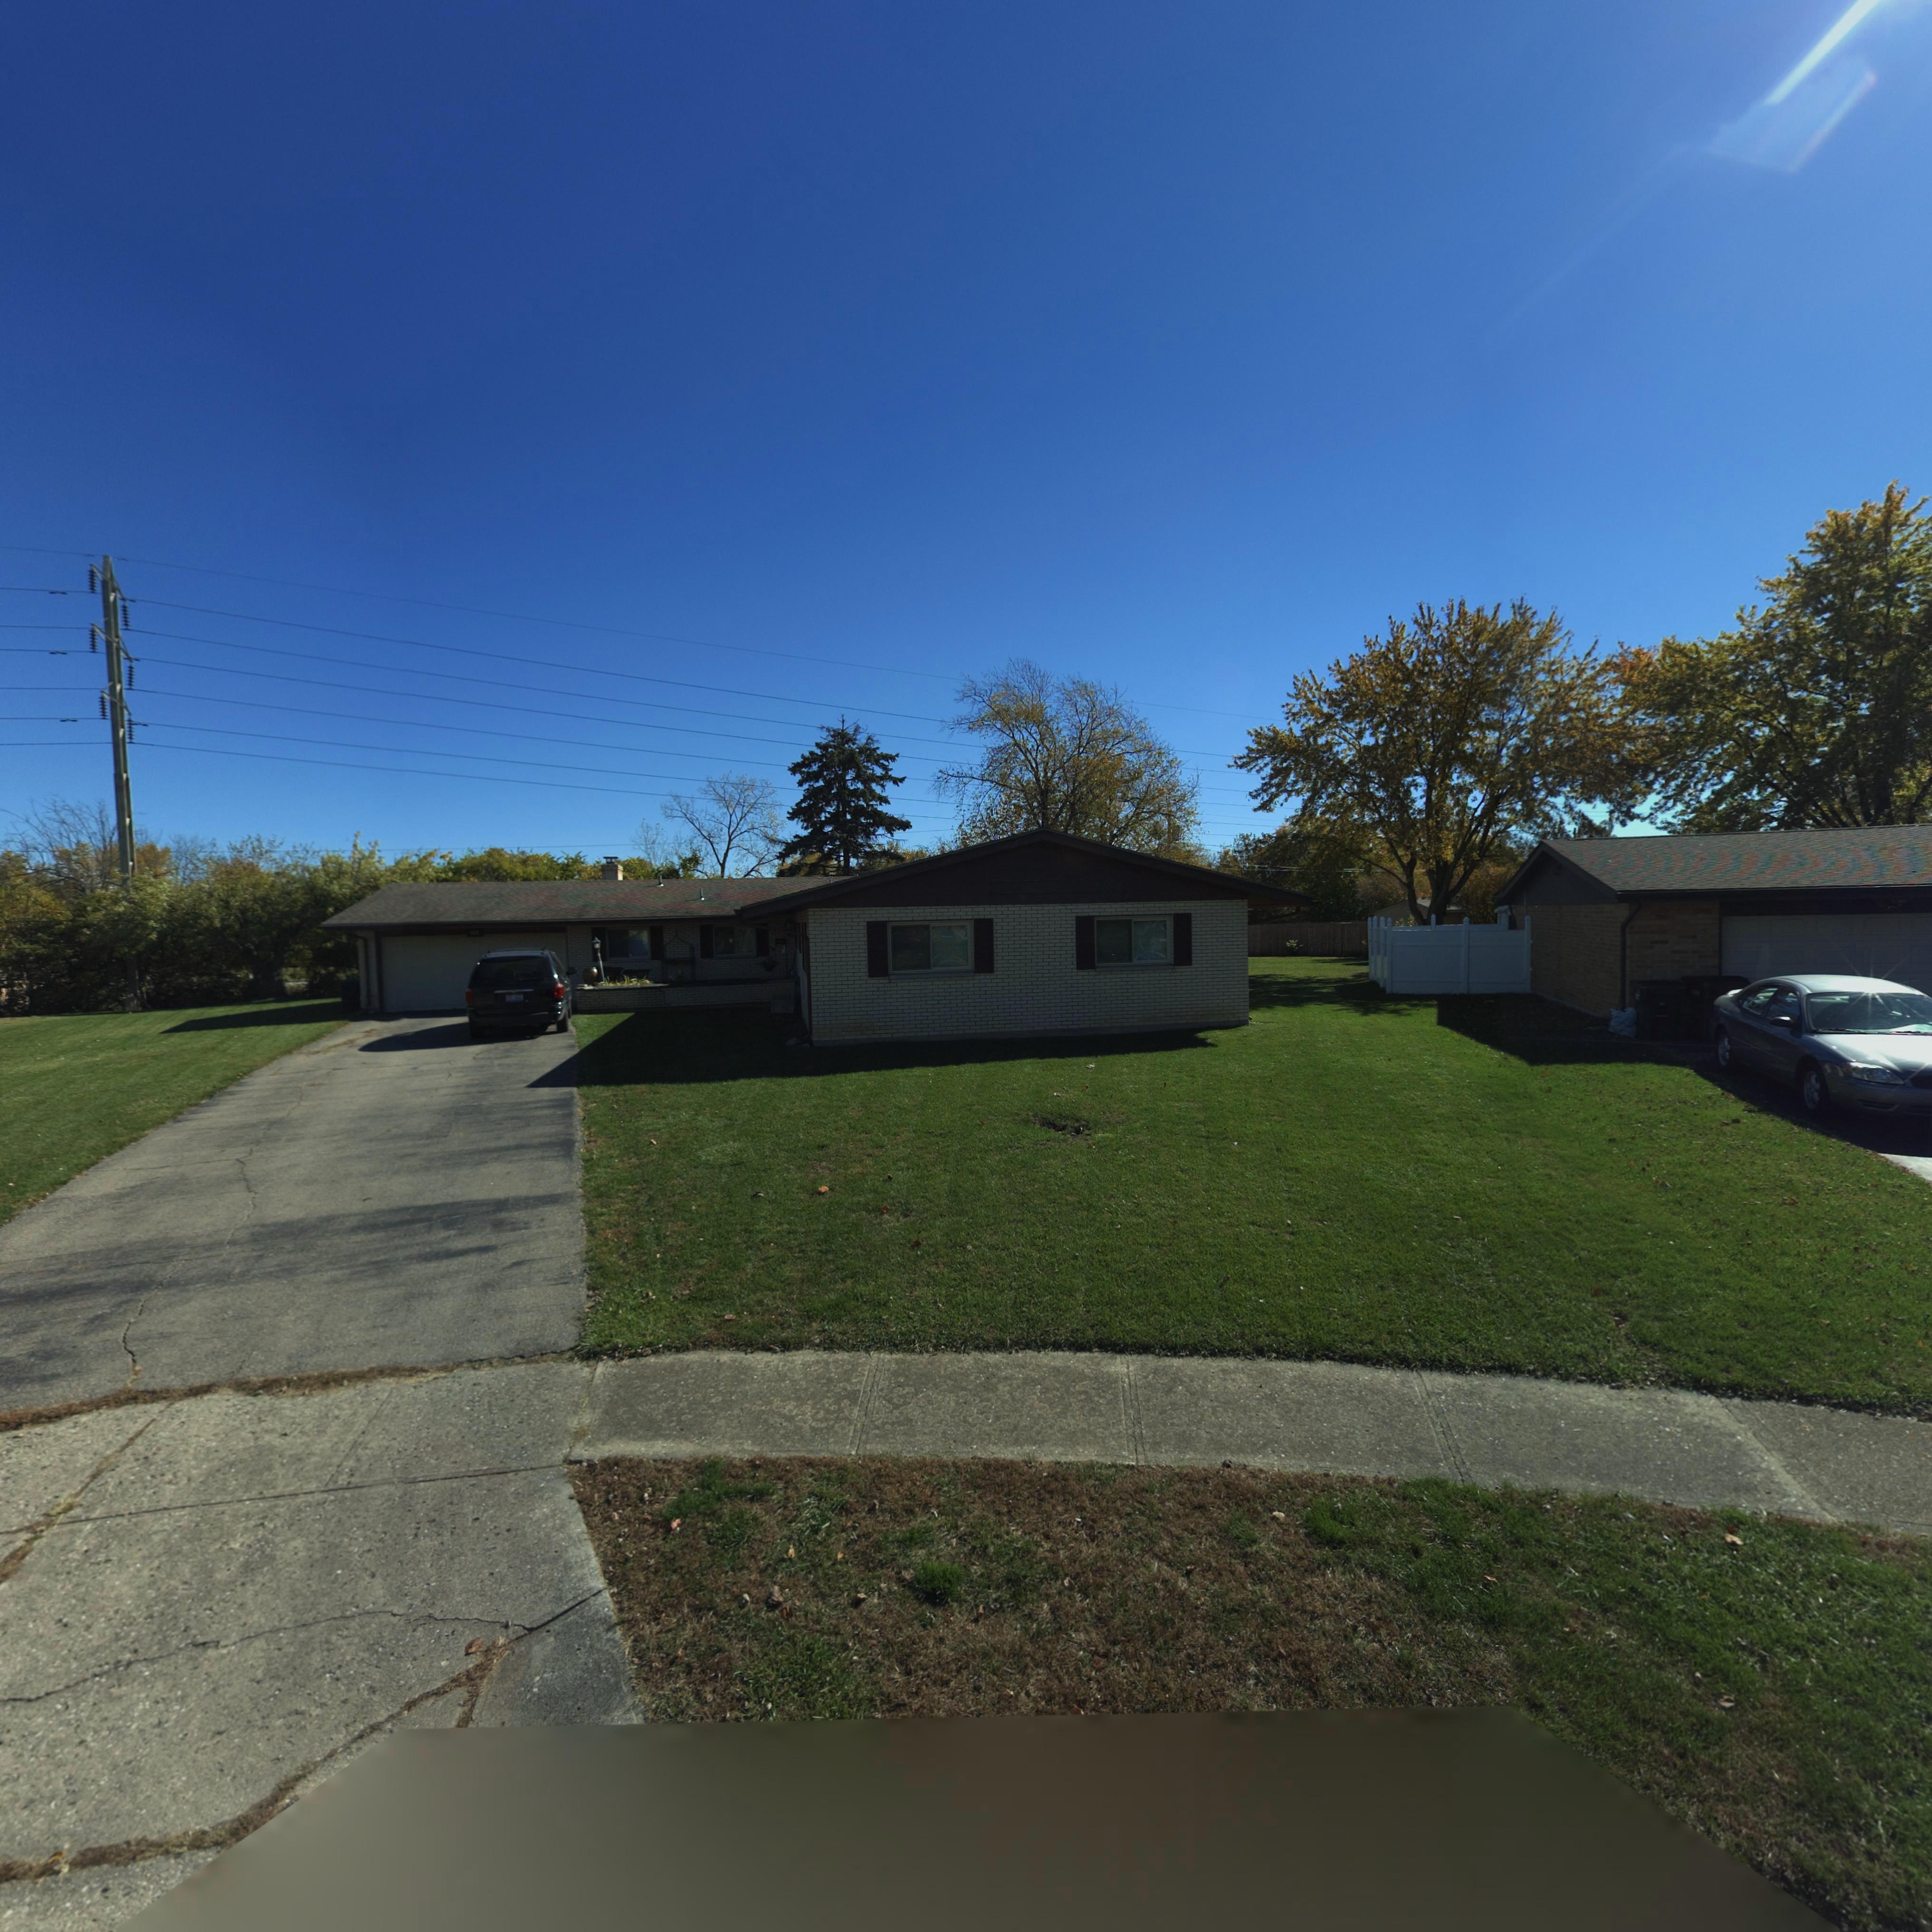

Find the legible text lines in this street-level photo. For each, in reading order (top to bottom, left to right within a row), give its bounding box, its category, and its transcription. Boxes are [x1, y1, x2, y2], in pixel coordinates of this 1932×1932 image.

[469, 929, 480, 936] StreetNumber: *02